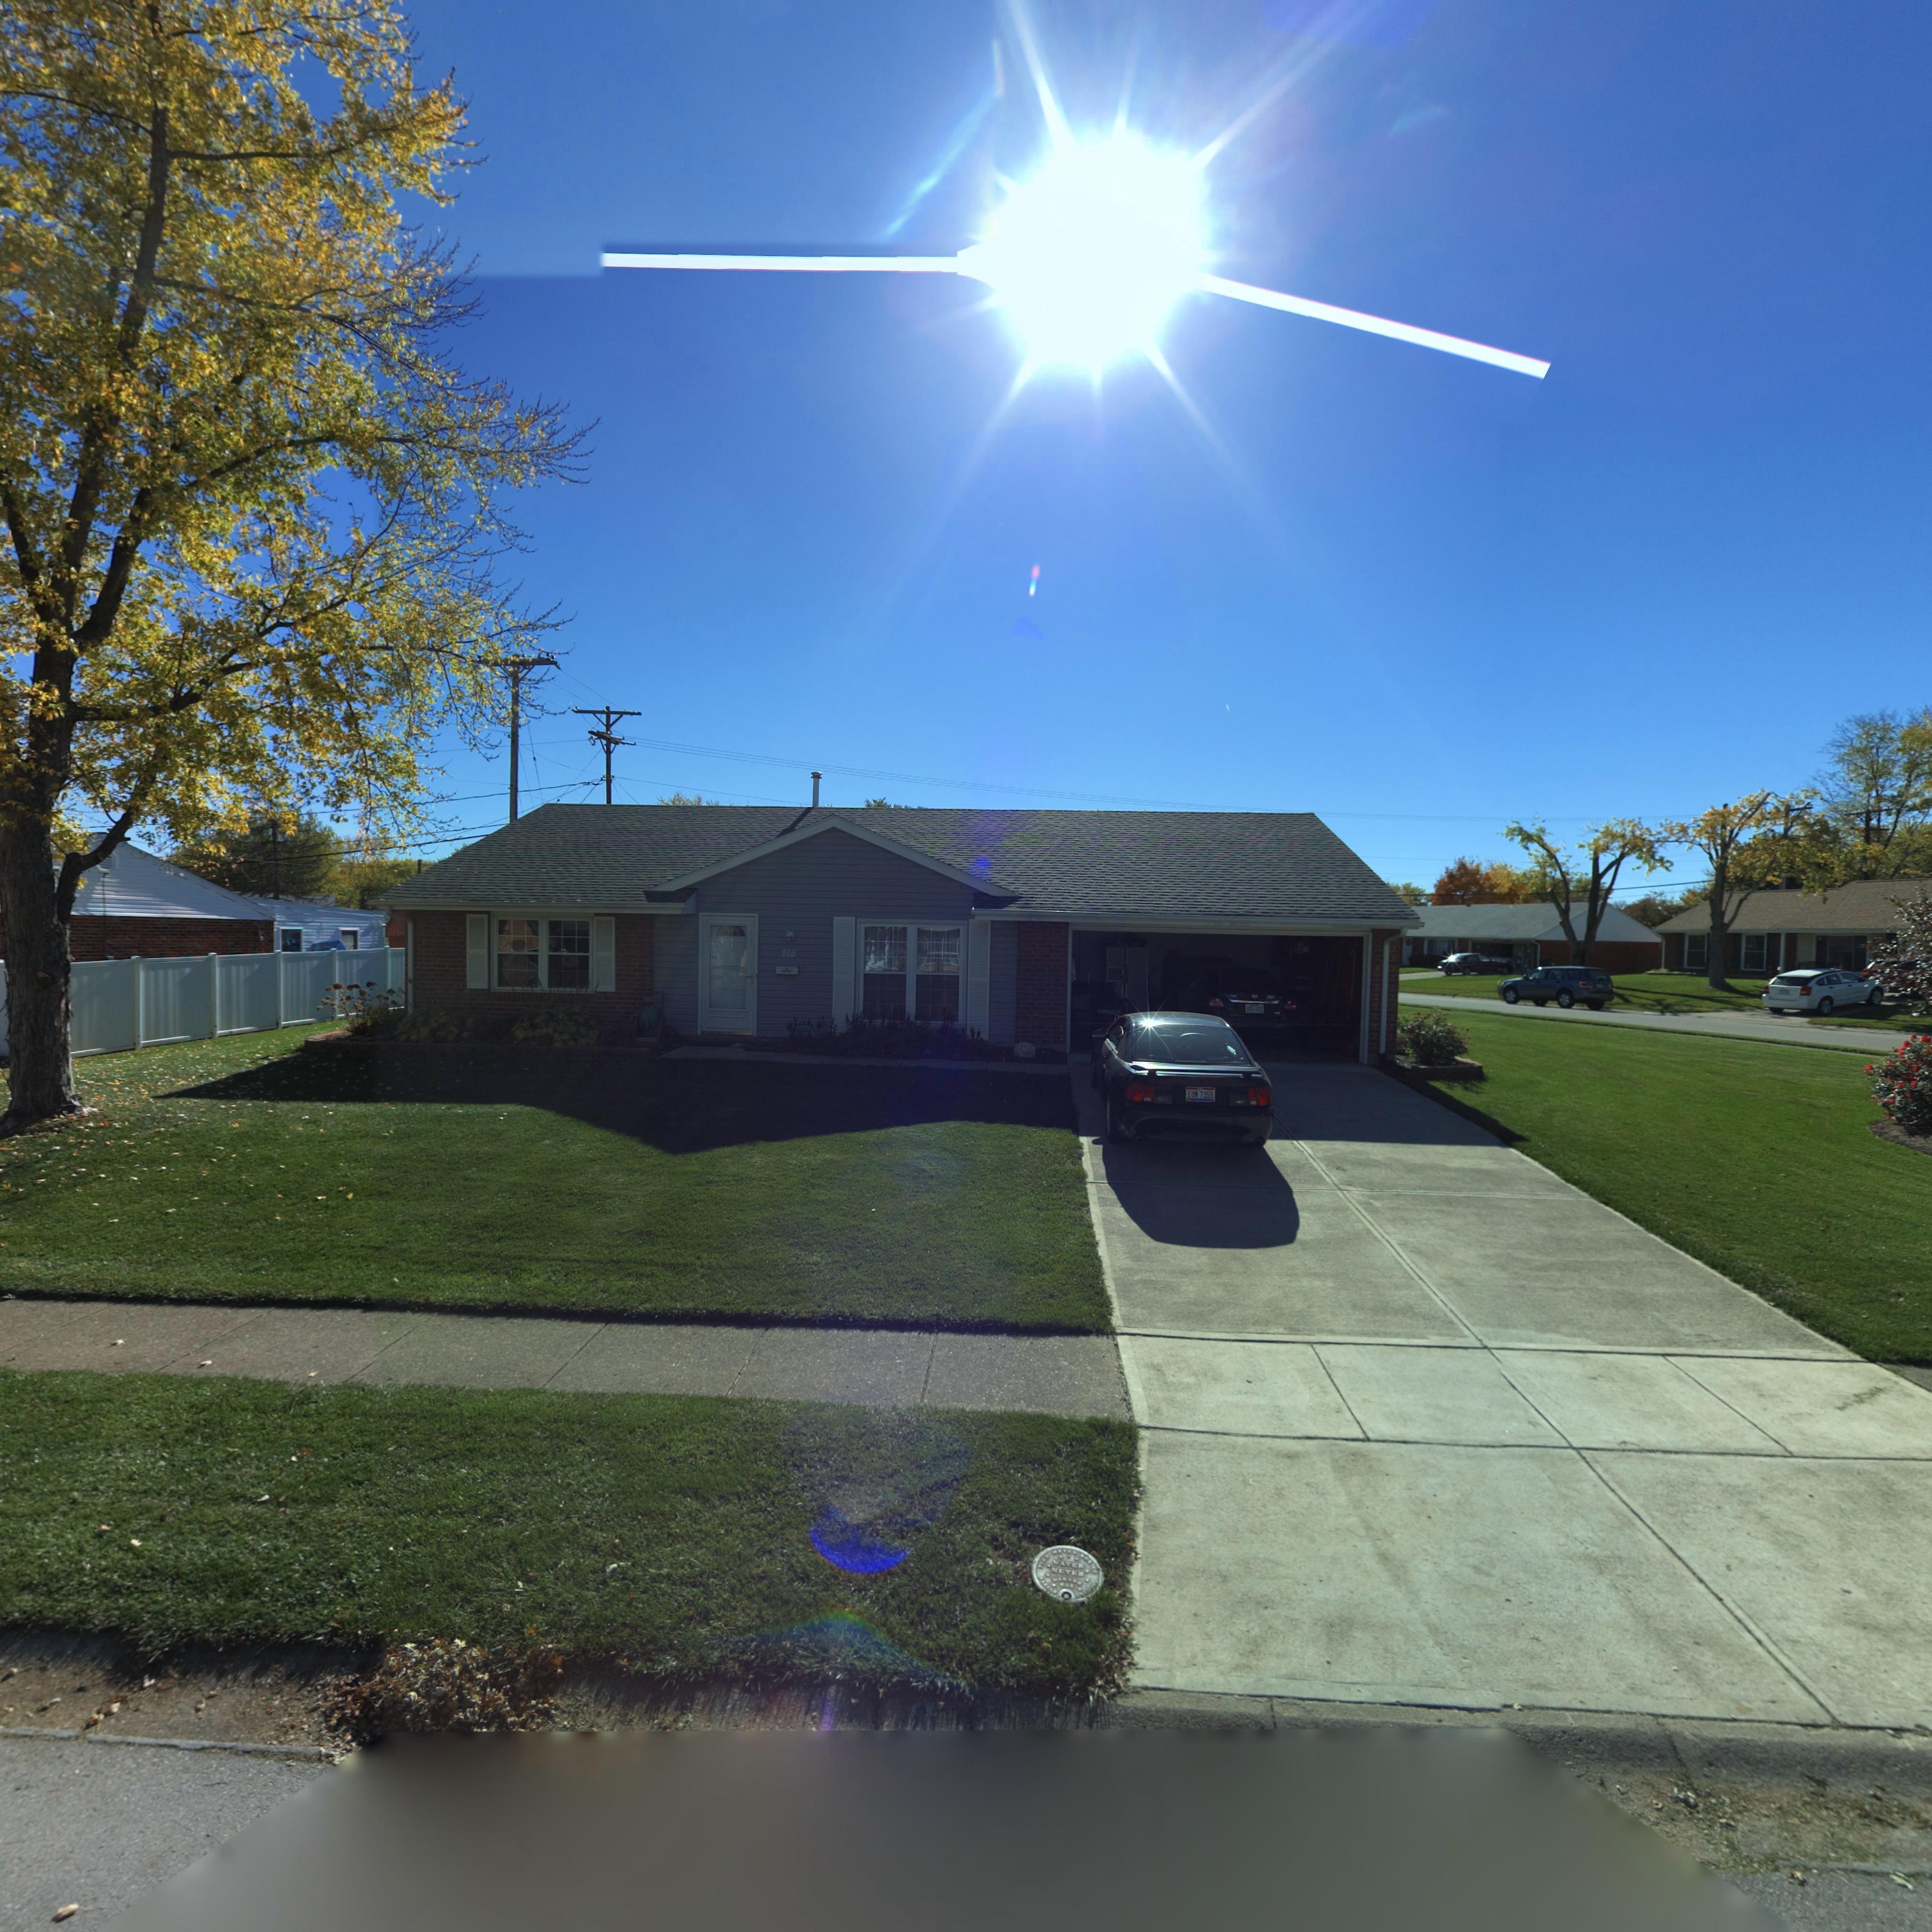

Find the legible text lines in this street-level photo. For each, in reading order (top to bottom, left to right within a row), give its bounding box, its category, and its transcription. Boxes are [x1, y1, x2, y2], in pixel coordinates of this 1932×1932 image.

[781, 949, 796, 958] StreetNumber: 805